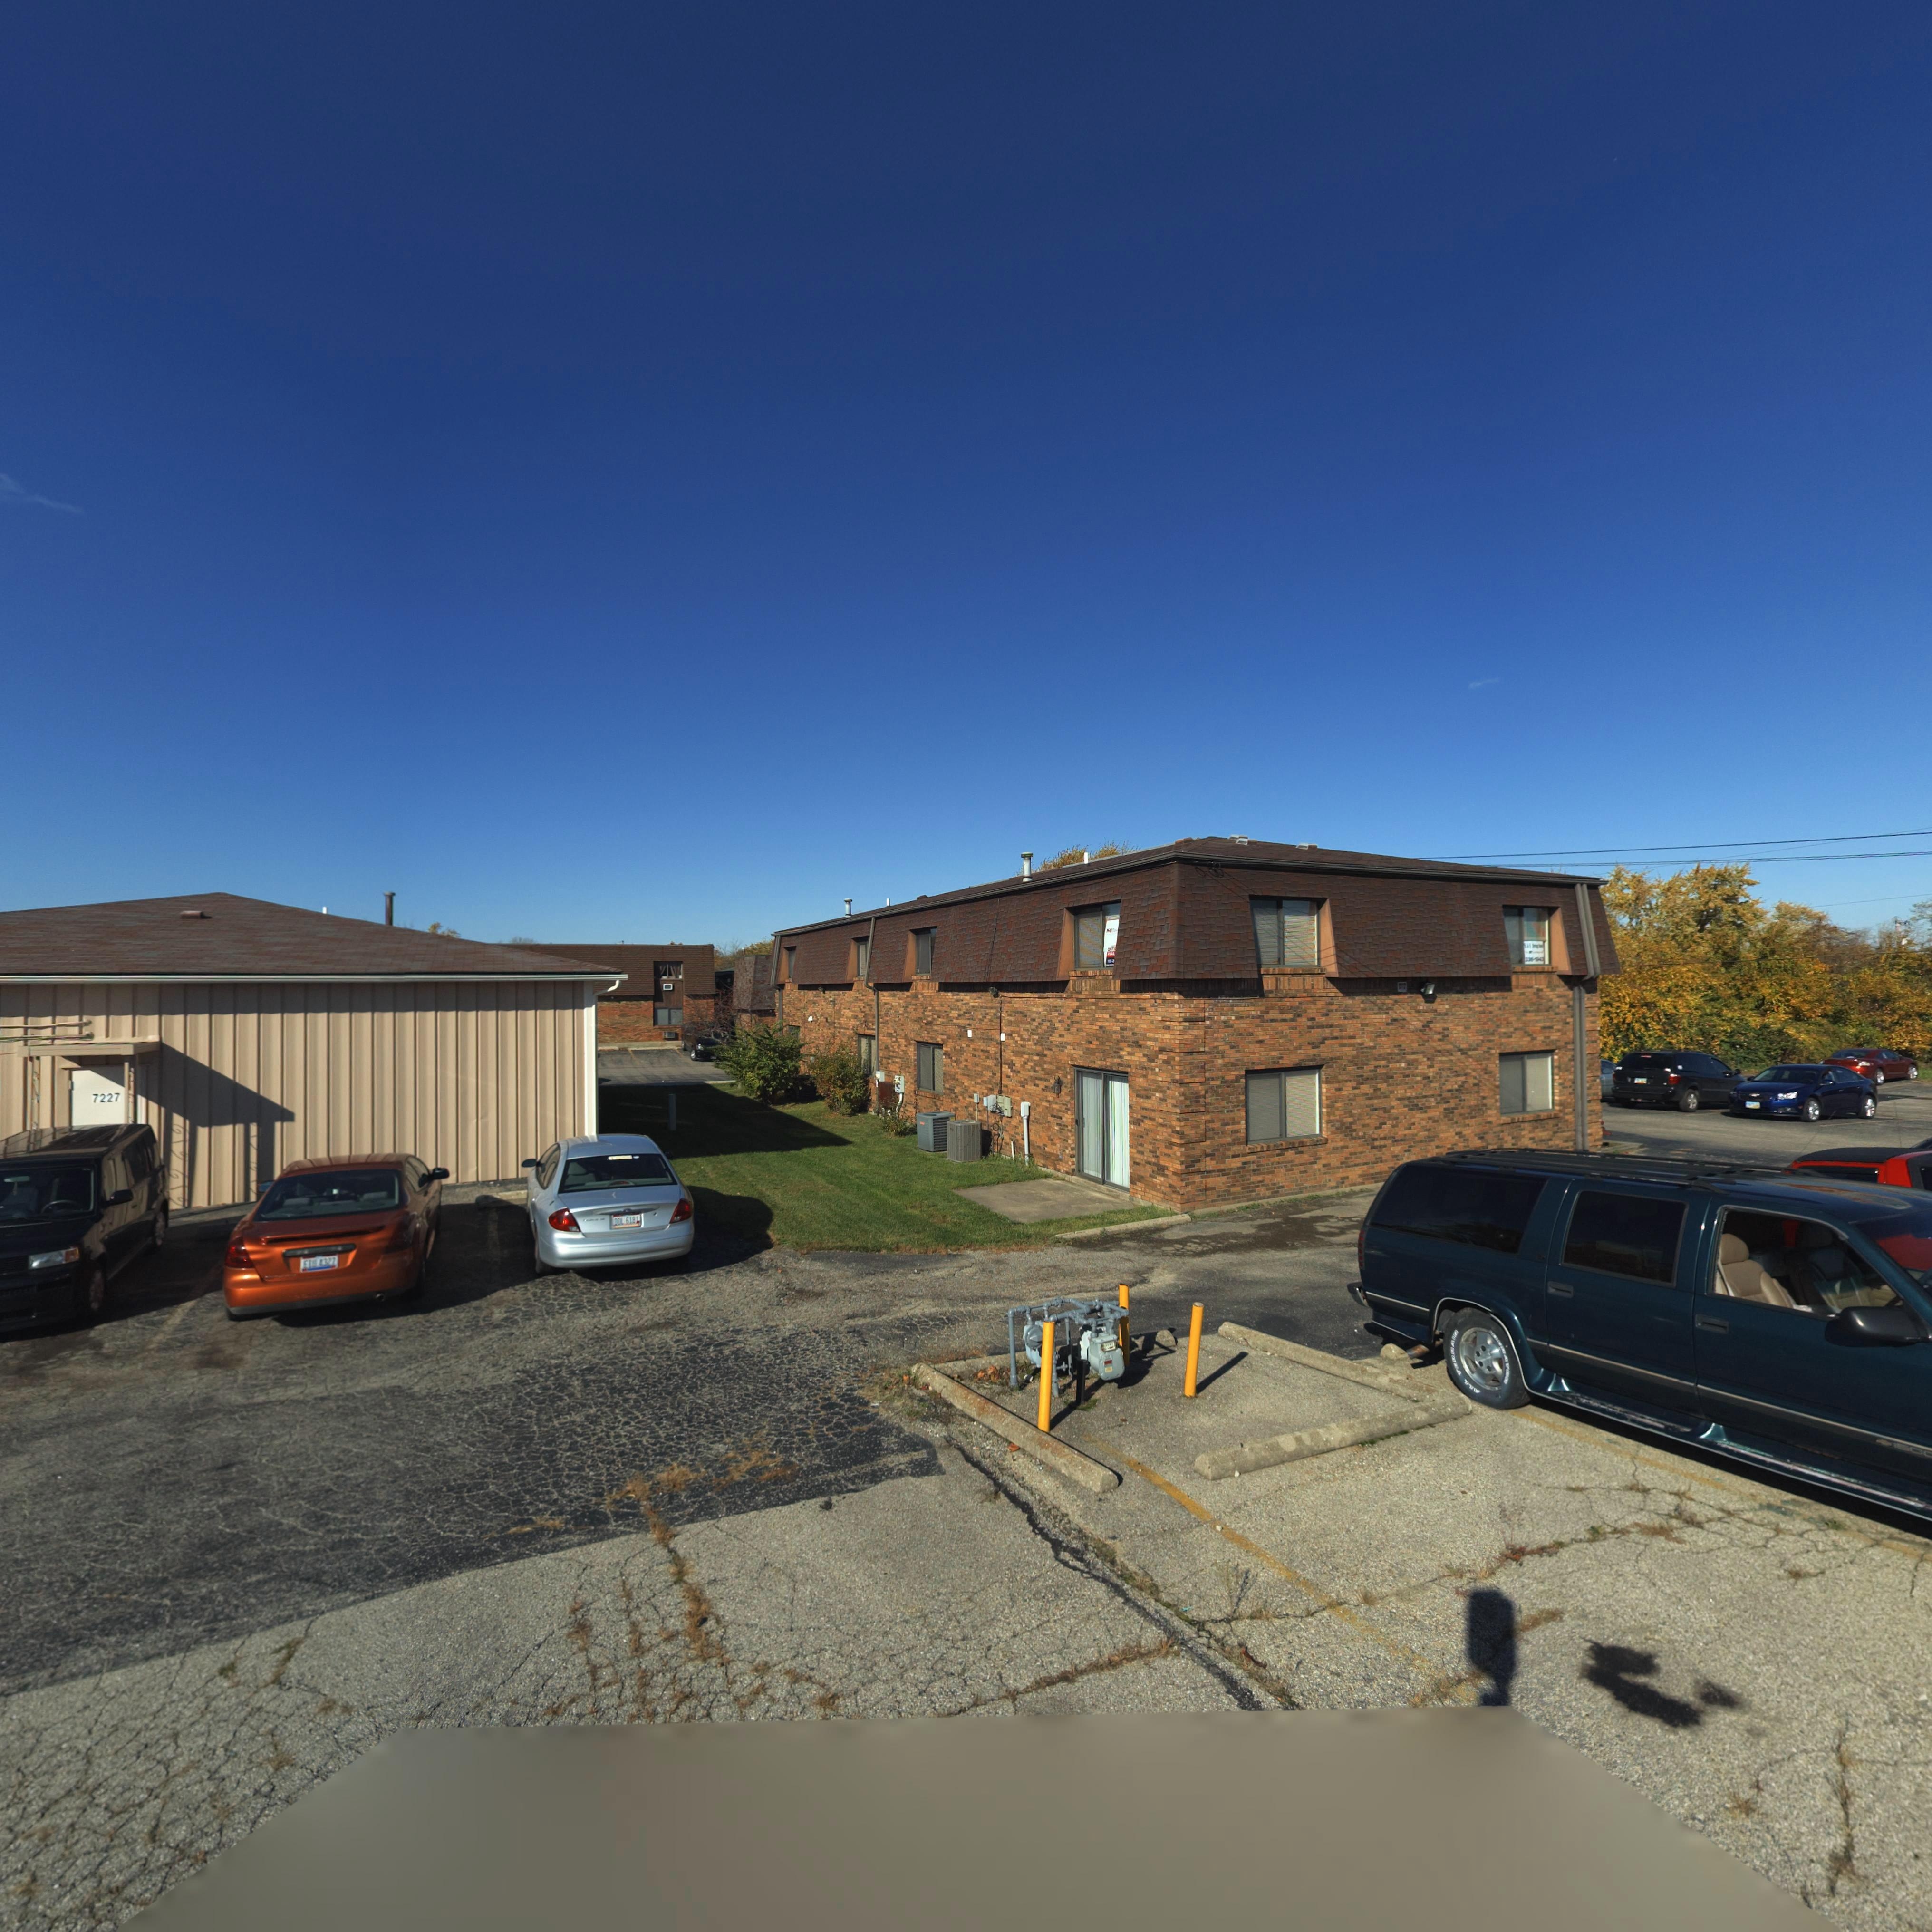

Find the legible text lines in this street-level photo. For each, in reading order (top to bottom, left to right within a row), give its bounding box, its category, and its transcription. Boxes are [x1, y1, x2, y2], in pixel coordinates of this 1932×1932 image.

[92, 1092, 122, 1103] StreetNumber: 7227